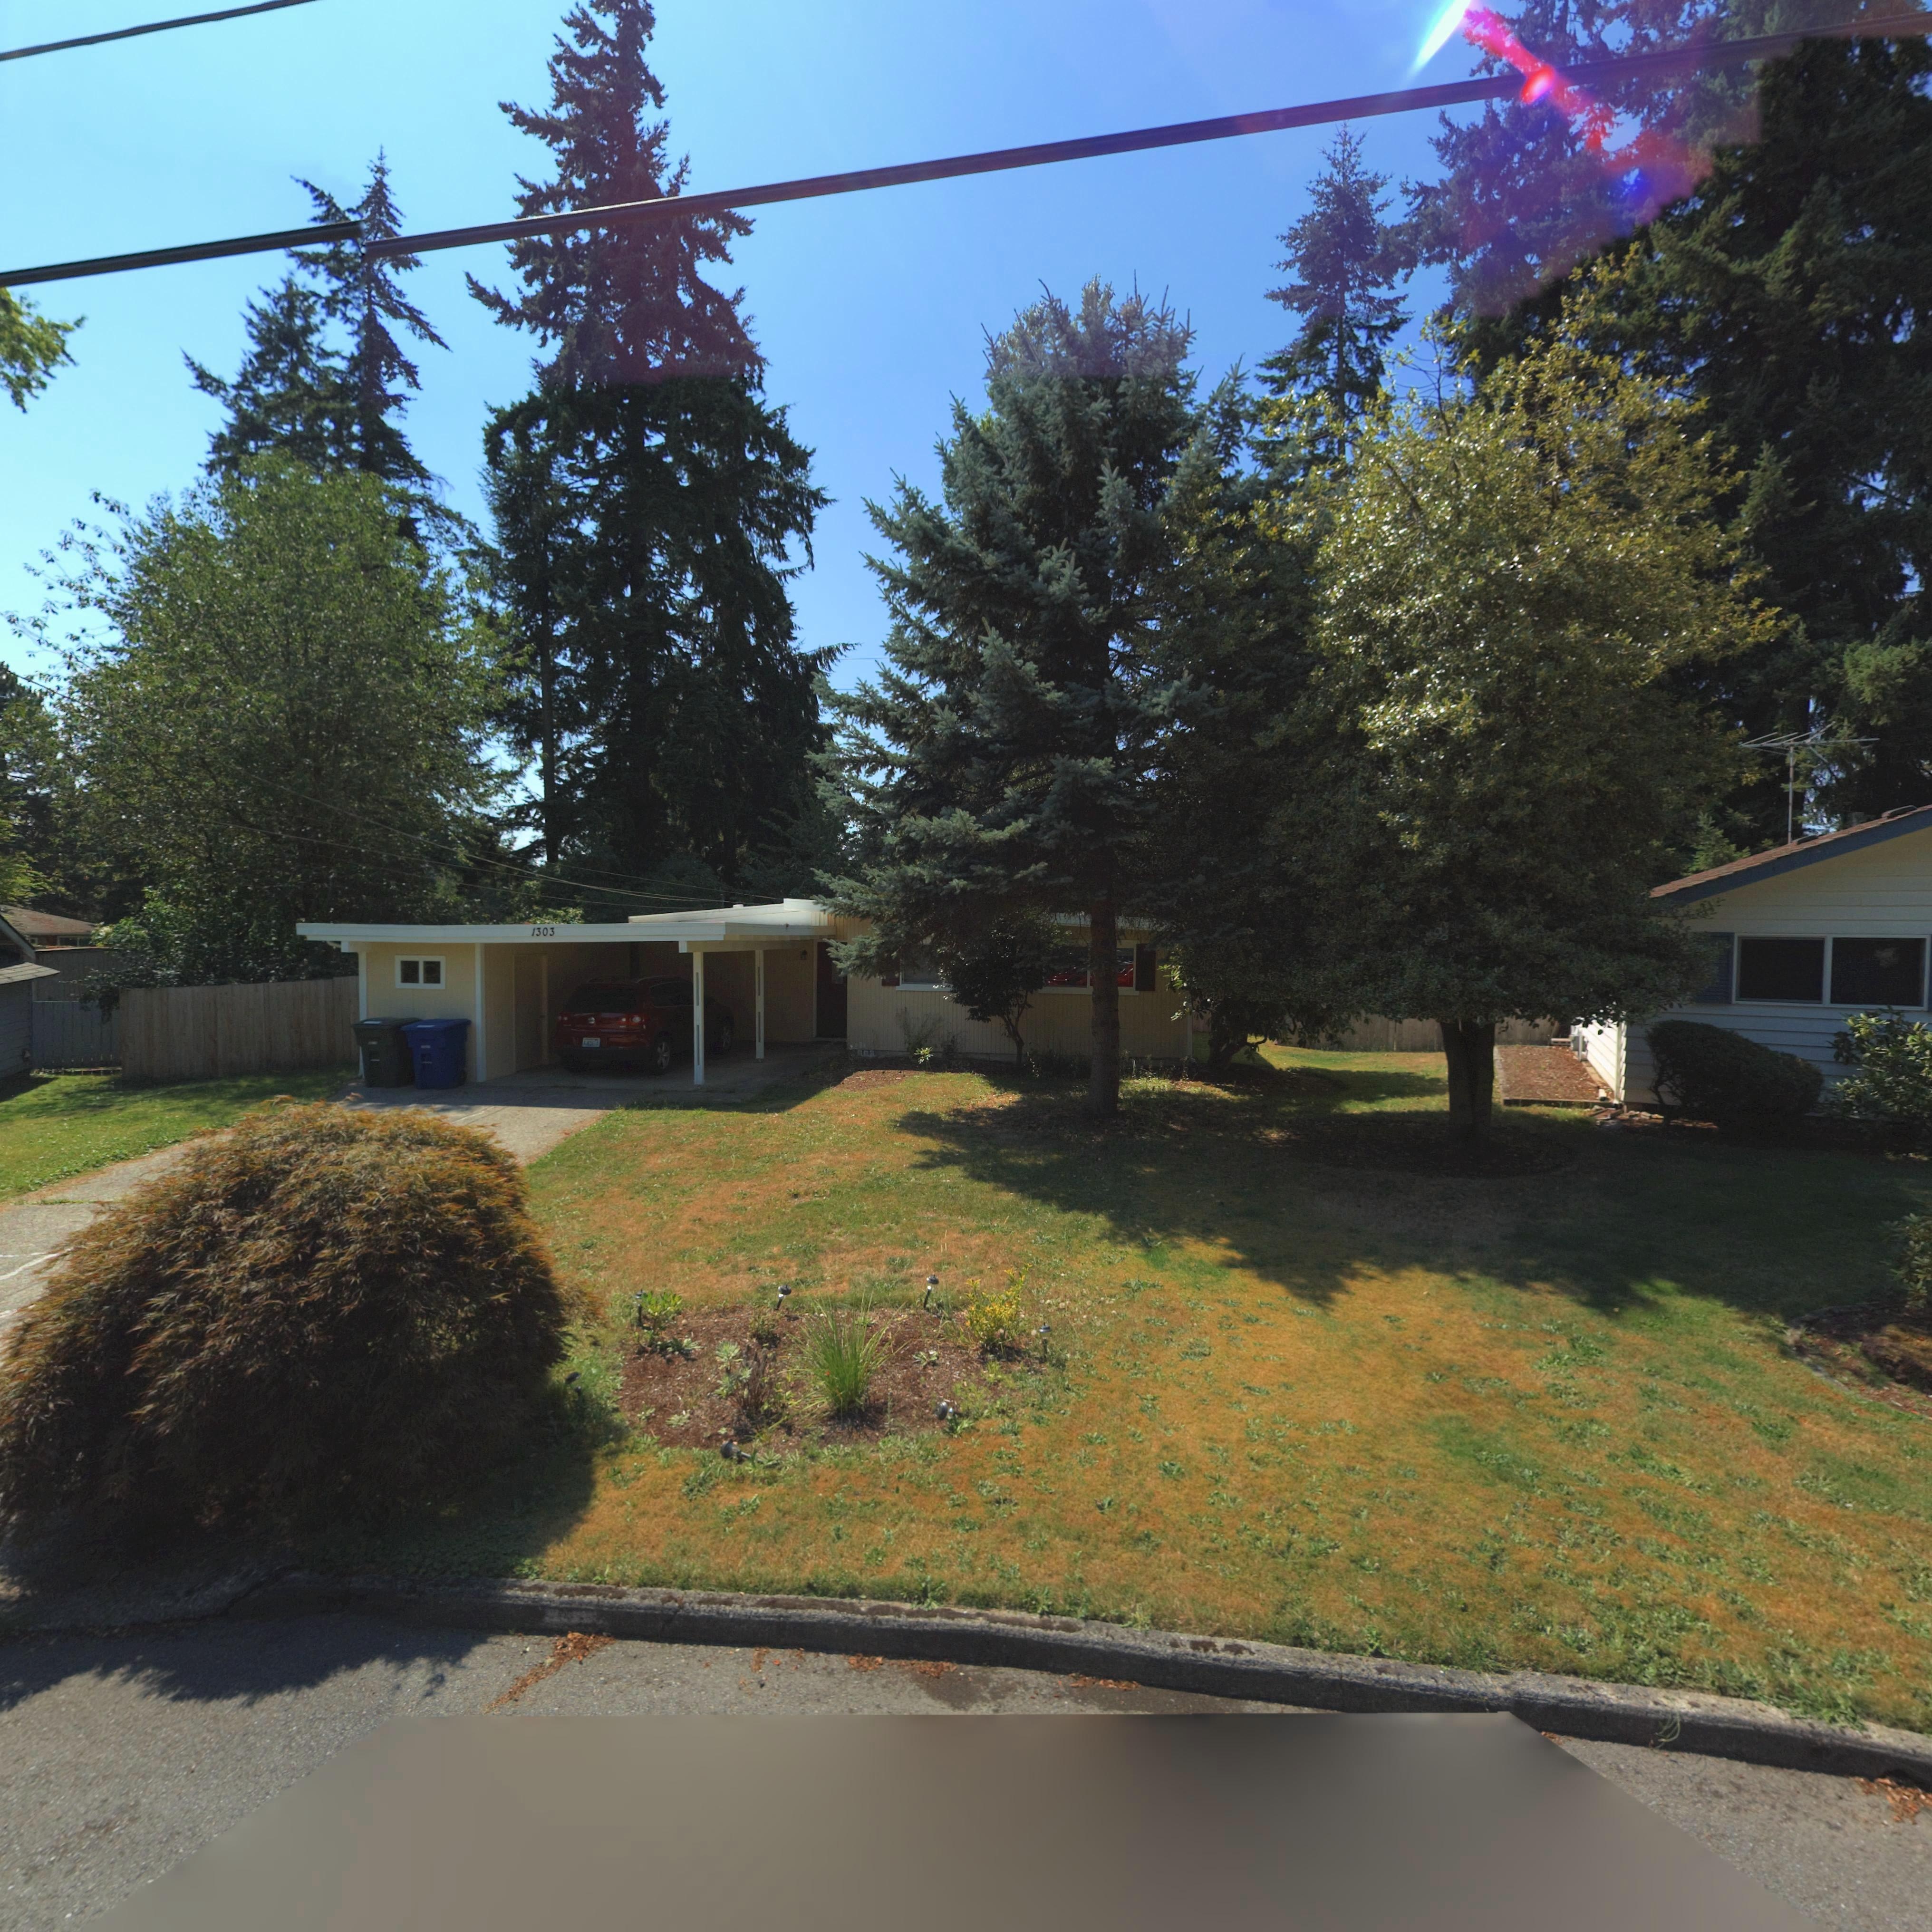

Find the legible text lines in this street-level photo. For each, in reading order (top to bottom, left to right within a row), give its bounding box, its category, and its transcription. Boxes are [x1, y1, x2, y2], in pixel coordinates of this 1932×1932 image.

[528, 926, 556, 937] StreetNumber: 1303